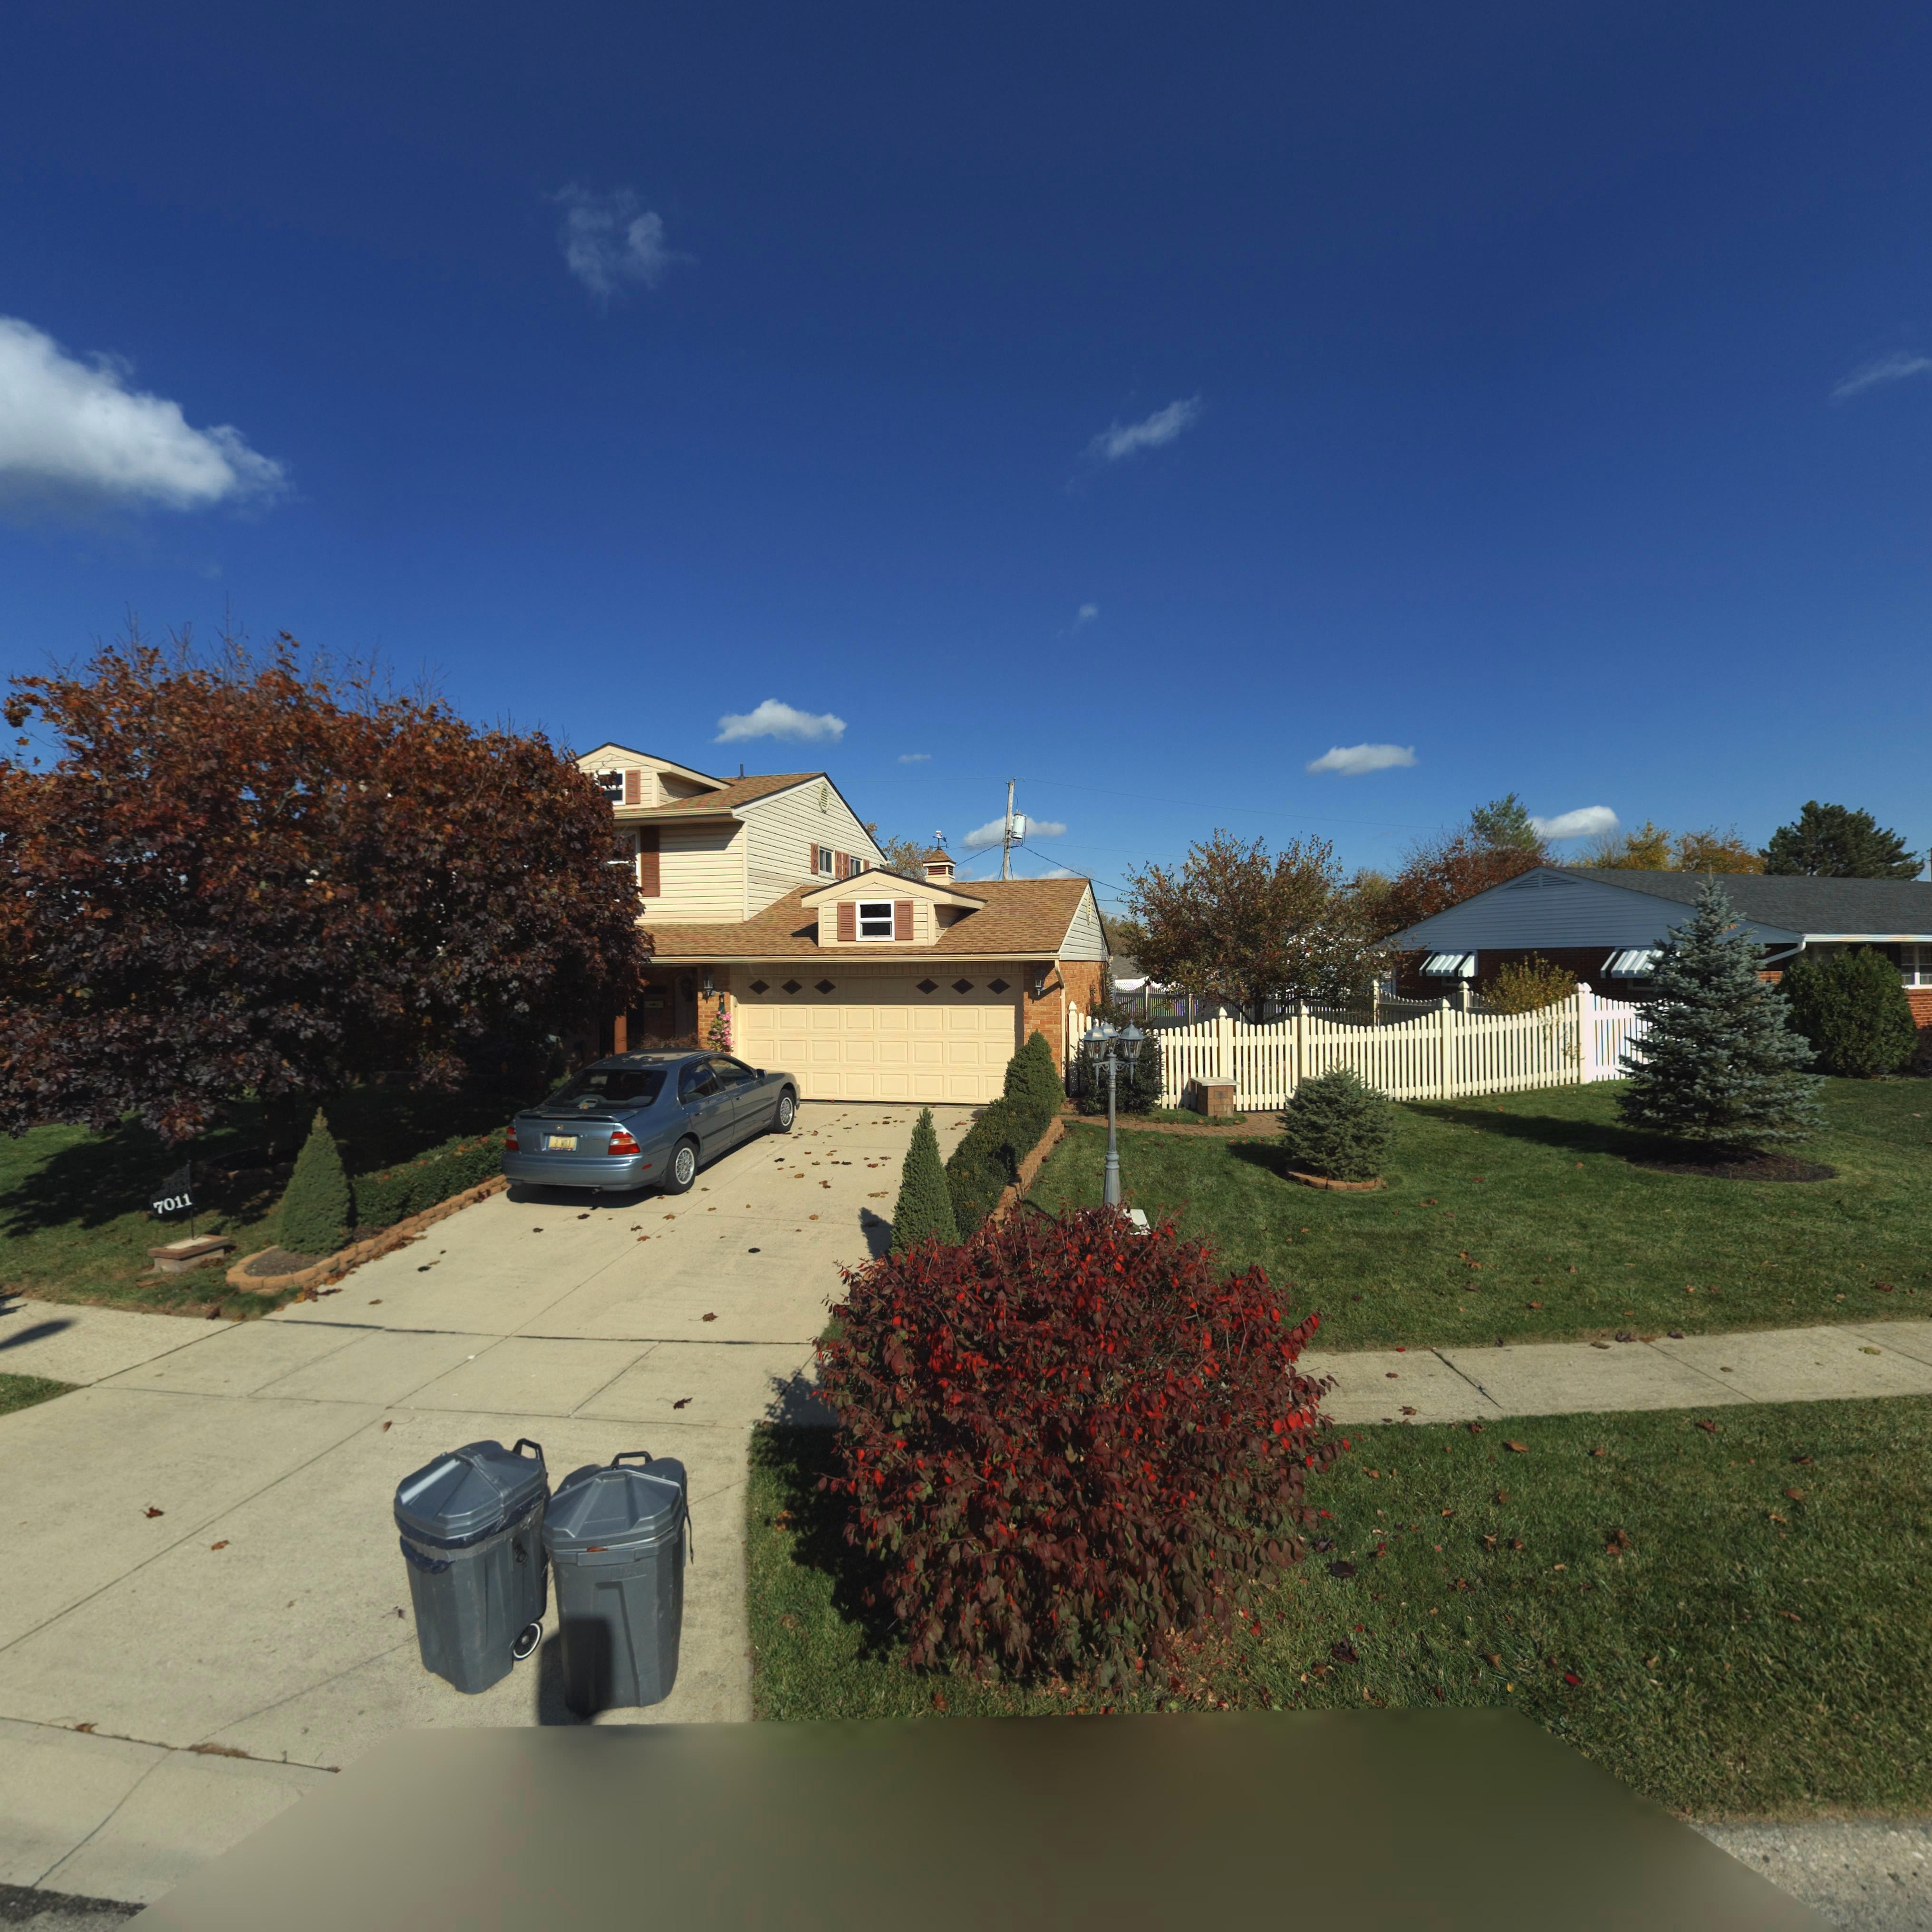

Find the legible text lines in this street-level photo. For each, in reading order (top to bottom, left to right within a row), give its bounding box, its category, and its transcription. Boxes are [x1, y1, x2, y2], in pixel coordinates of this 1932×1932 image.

[150, 1189, 195, 1217] StreetNumber: 7011